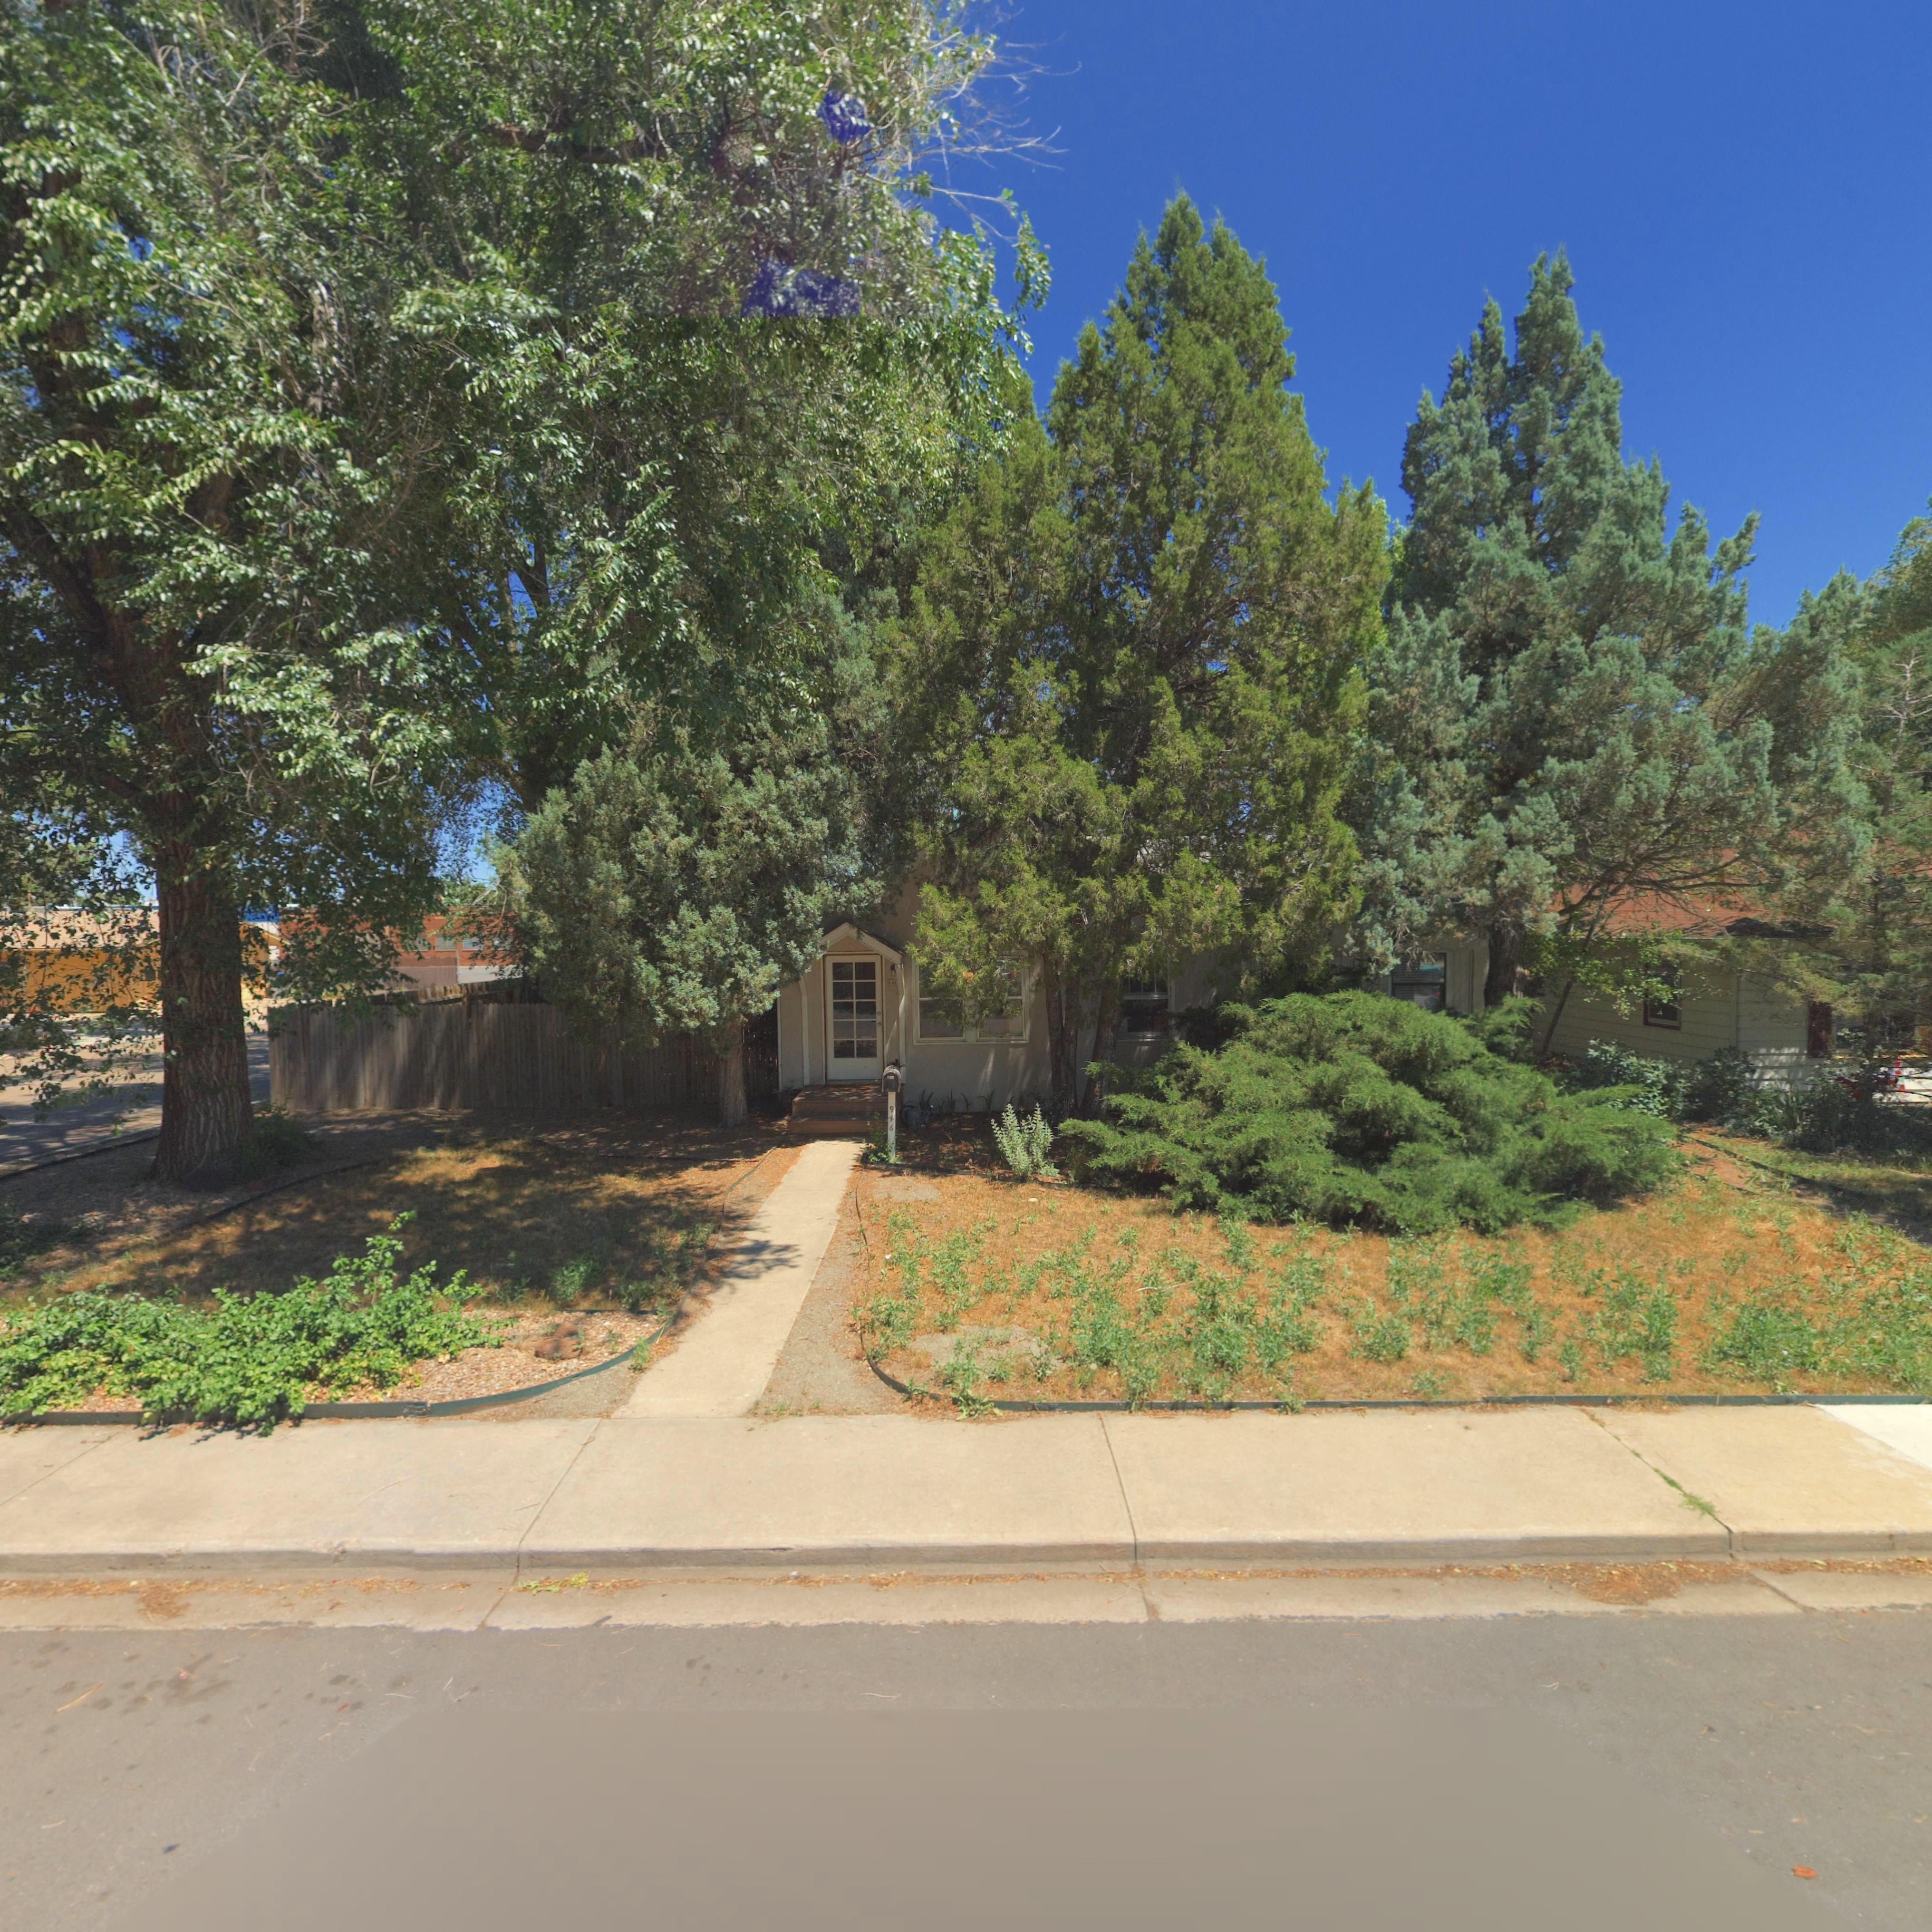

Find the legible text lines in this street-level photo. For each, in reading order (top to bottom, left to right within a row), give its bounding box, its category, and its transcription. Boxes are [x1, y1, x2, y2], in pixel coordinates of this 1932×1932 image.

[887, 980, 897, 985] None: 94*
[889, 1106, 894, 1131] StreetNumber: 946